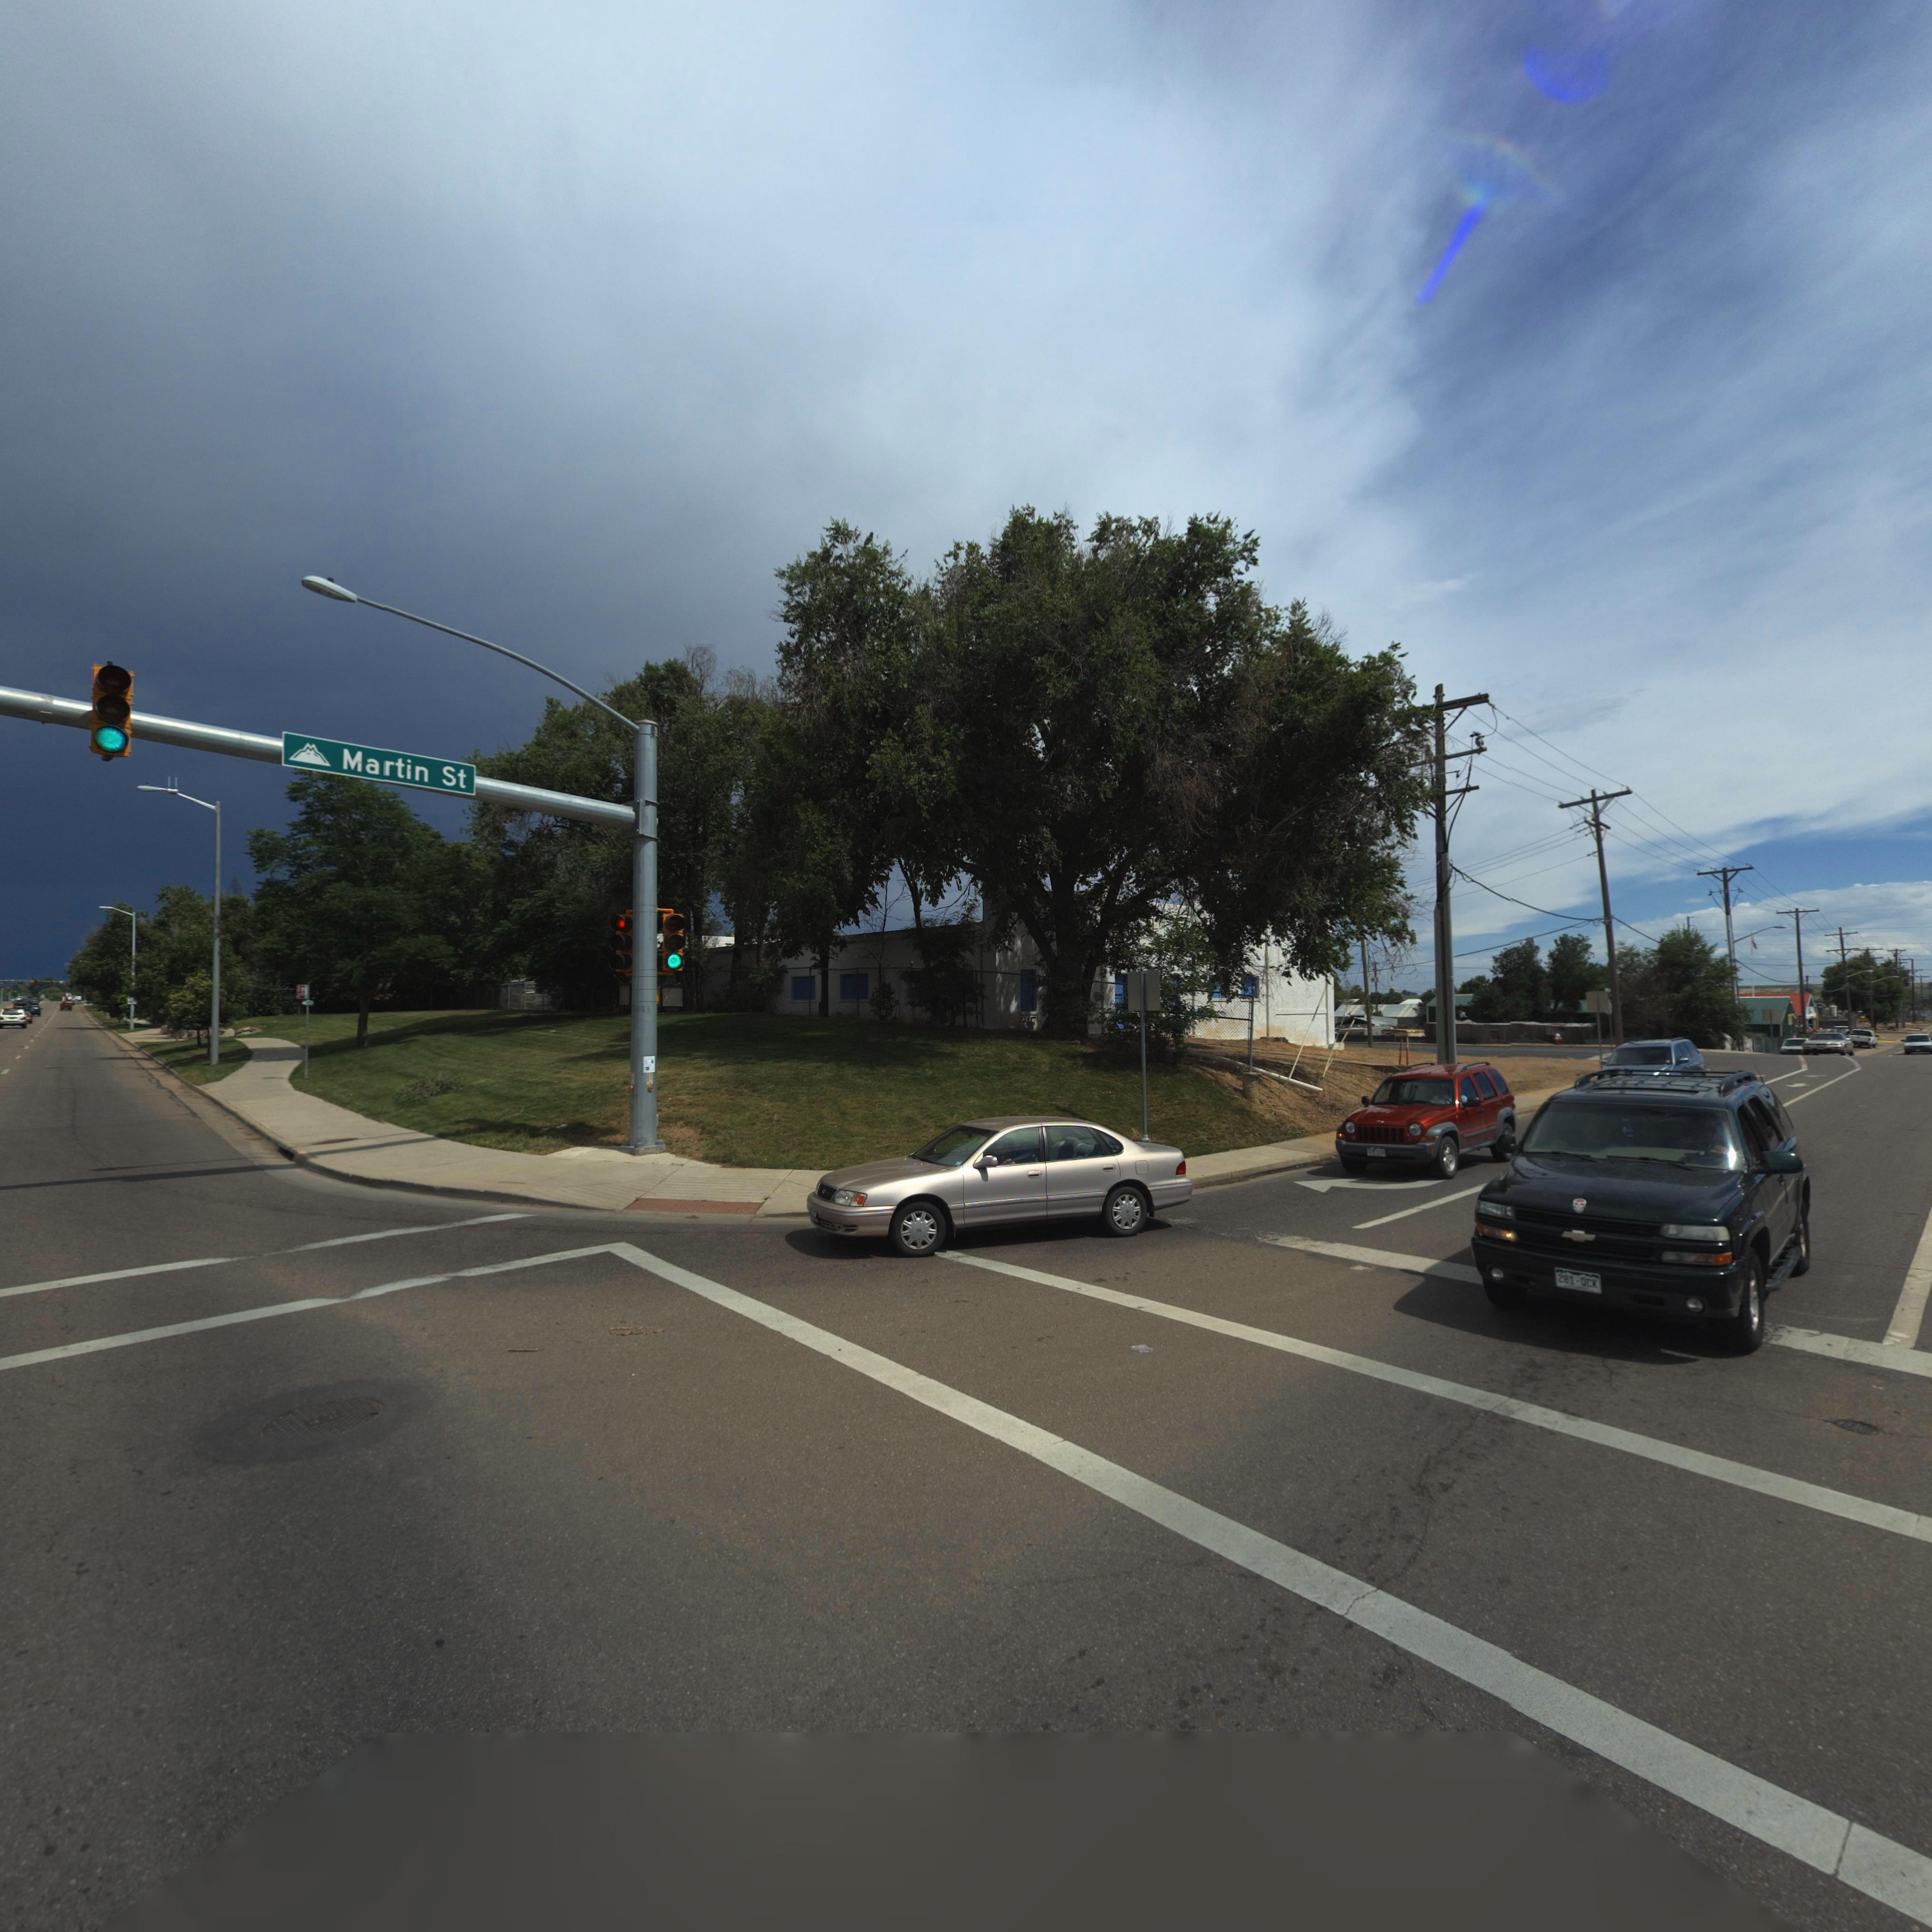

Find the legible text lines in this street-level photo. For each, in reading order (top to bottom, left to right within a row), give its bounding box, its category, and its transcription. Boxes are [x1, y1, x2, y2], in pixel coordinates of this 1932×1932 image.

[343, 748, 465, 788] StreetName: Martin St